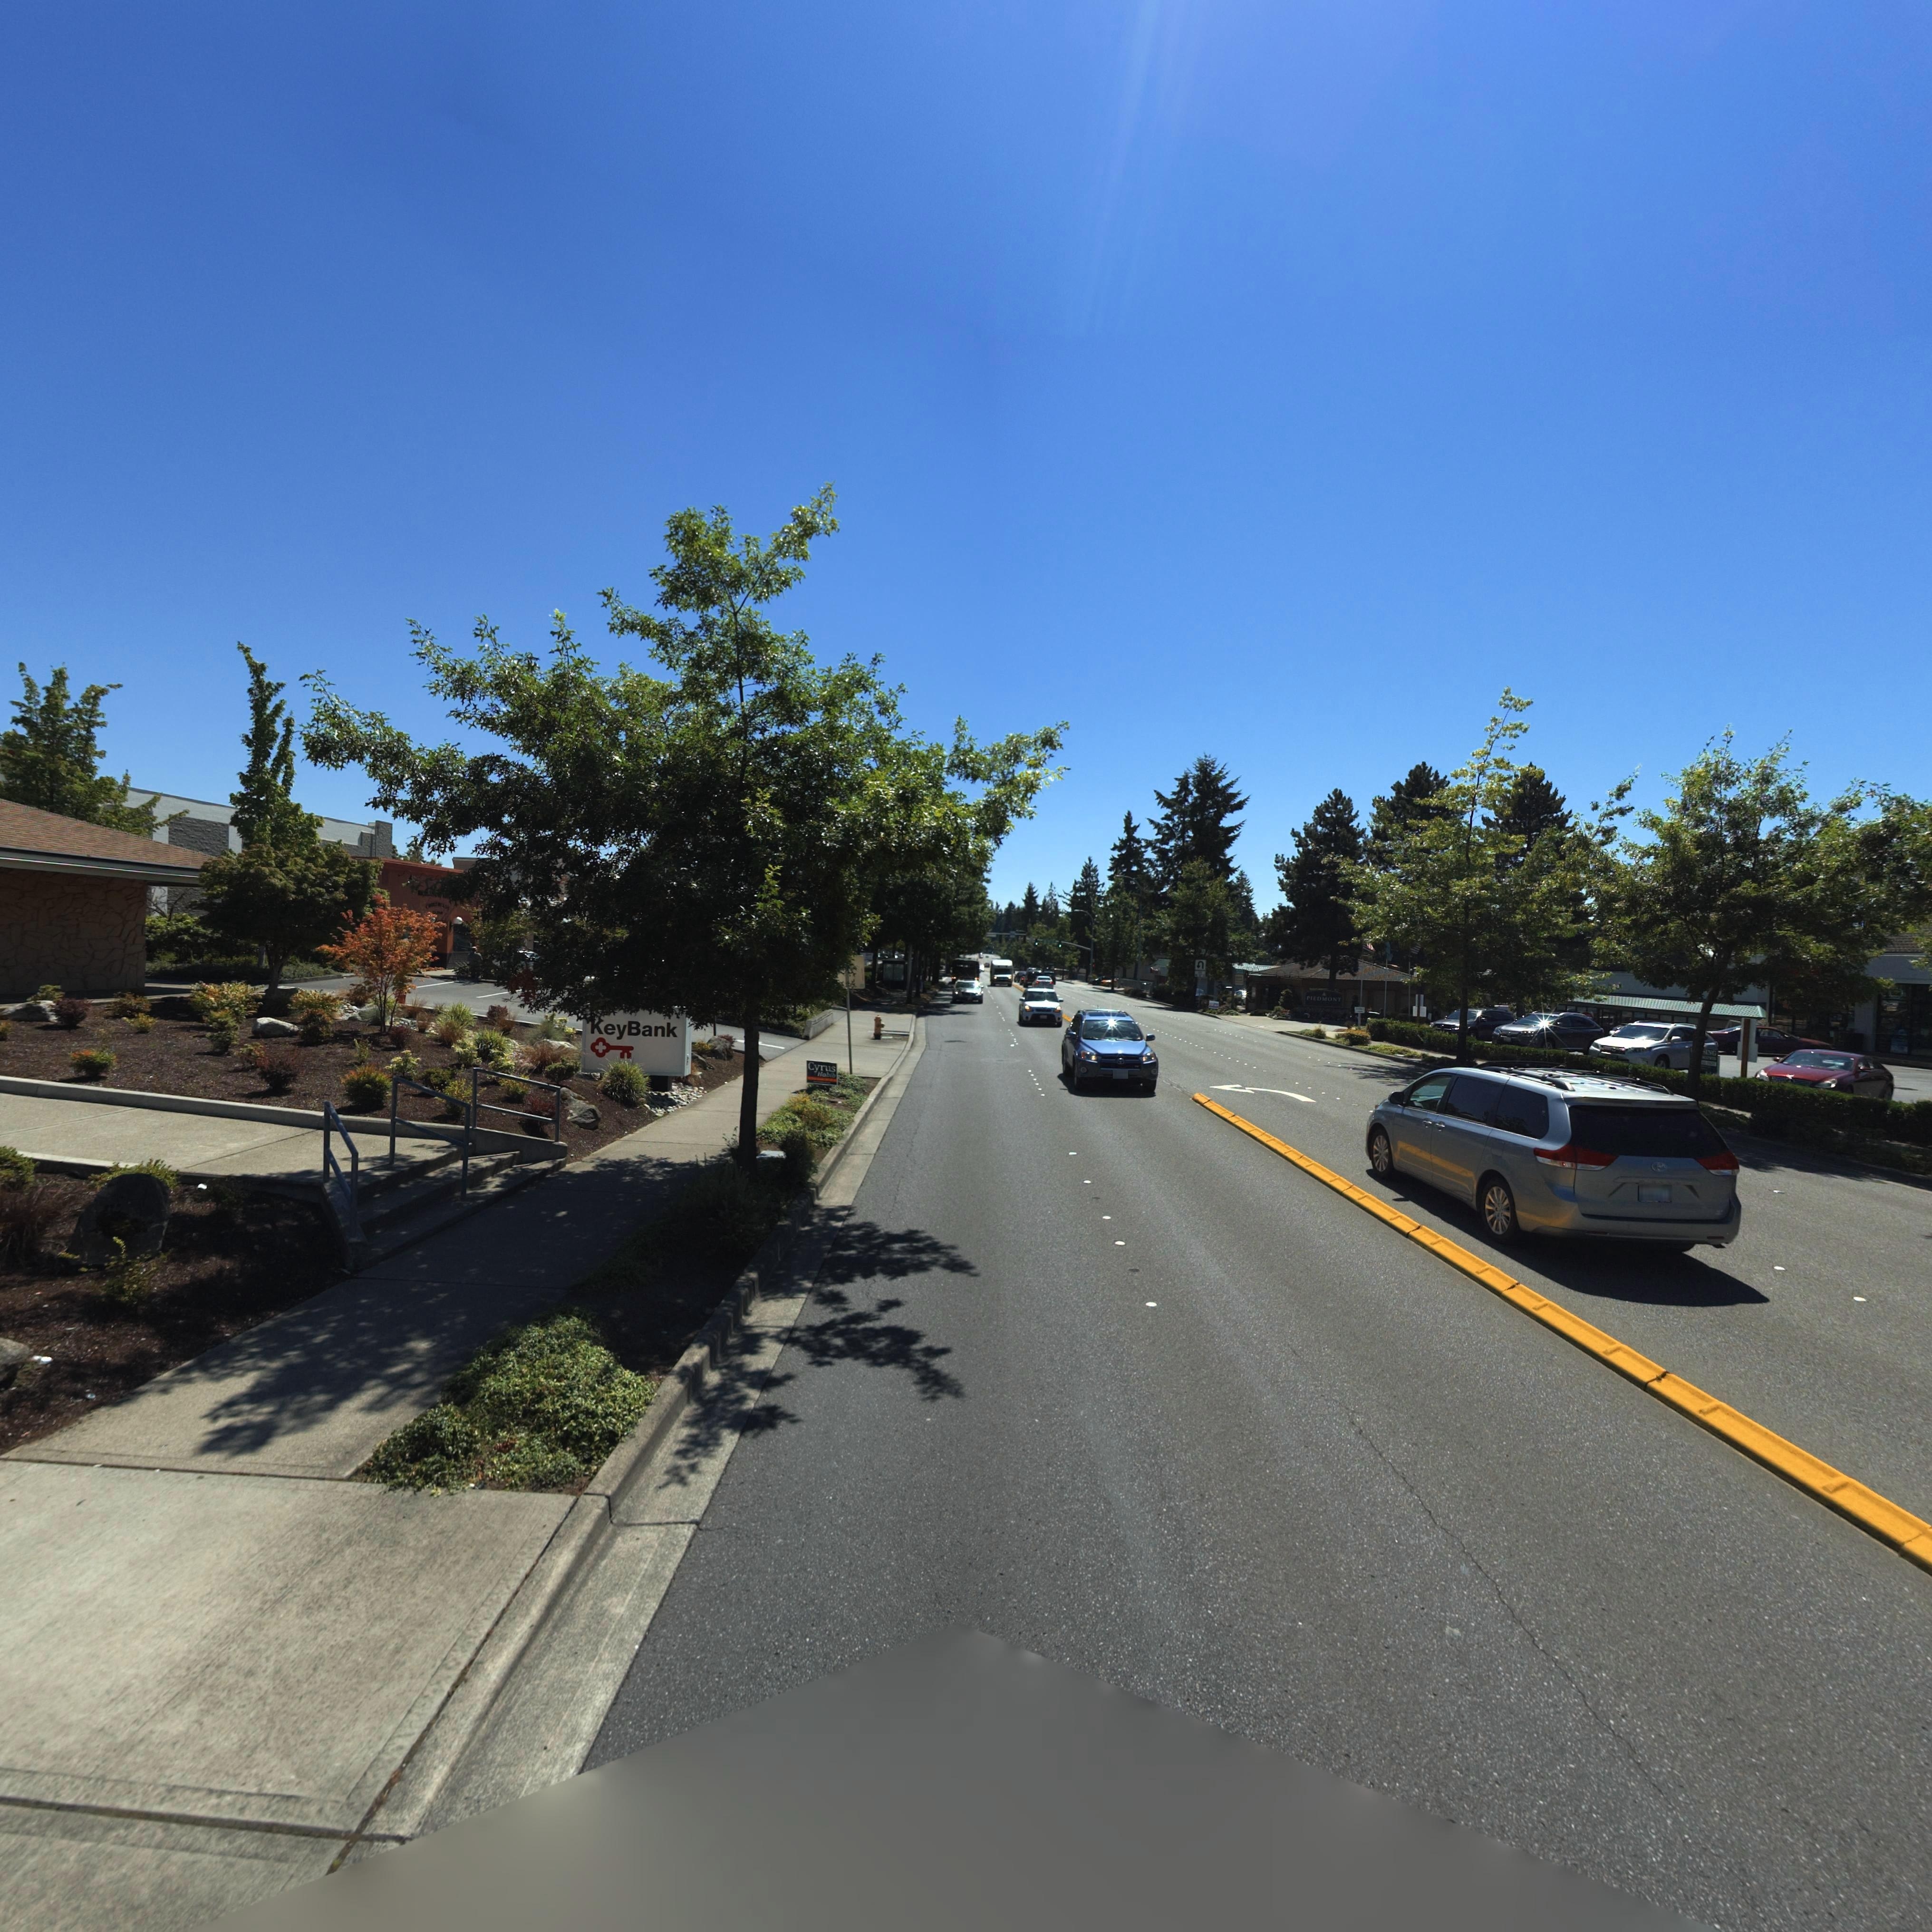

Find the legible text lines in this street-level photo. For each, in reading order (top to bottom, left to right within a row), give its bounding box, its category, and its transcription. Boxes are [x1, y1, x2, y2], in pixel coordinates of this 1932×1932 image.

[591, 1015, 678, 1038] BusinessName: KeyBank